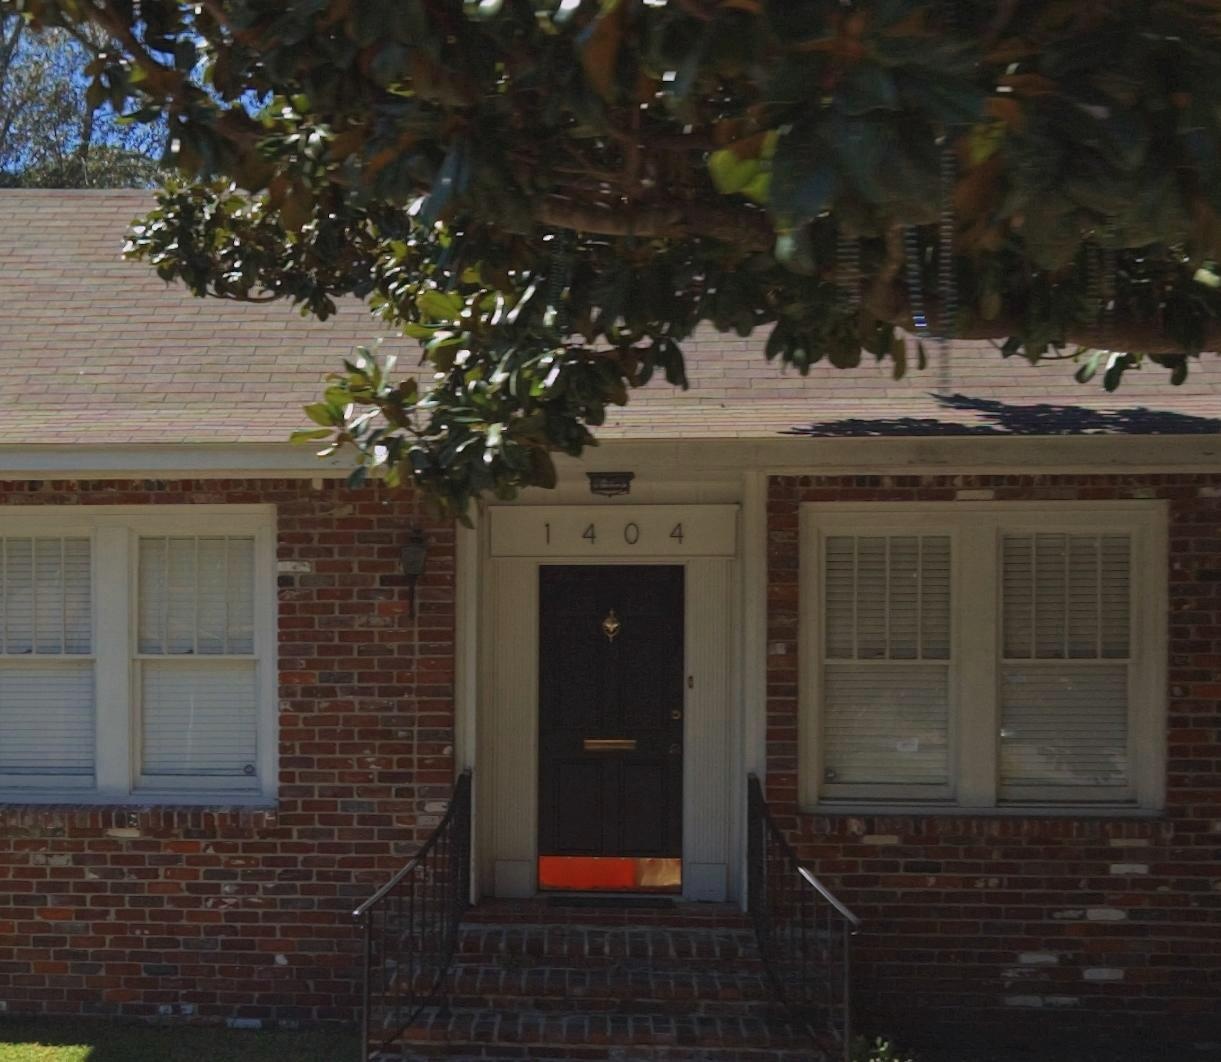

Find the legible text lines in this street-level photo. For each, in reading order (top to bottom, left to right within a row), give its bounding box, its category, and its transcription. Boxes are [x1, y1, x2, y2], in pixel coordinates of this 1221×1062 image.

[543, 520, 686, 547] StreetNumber: 1404